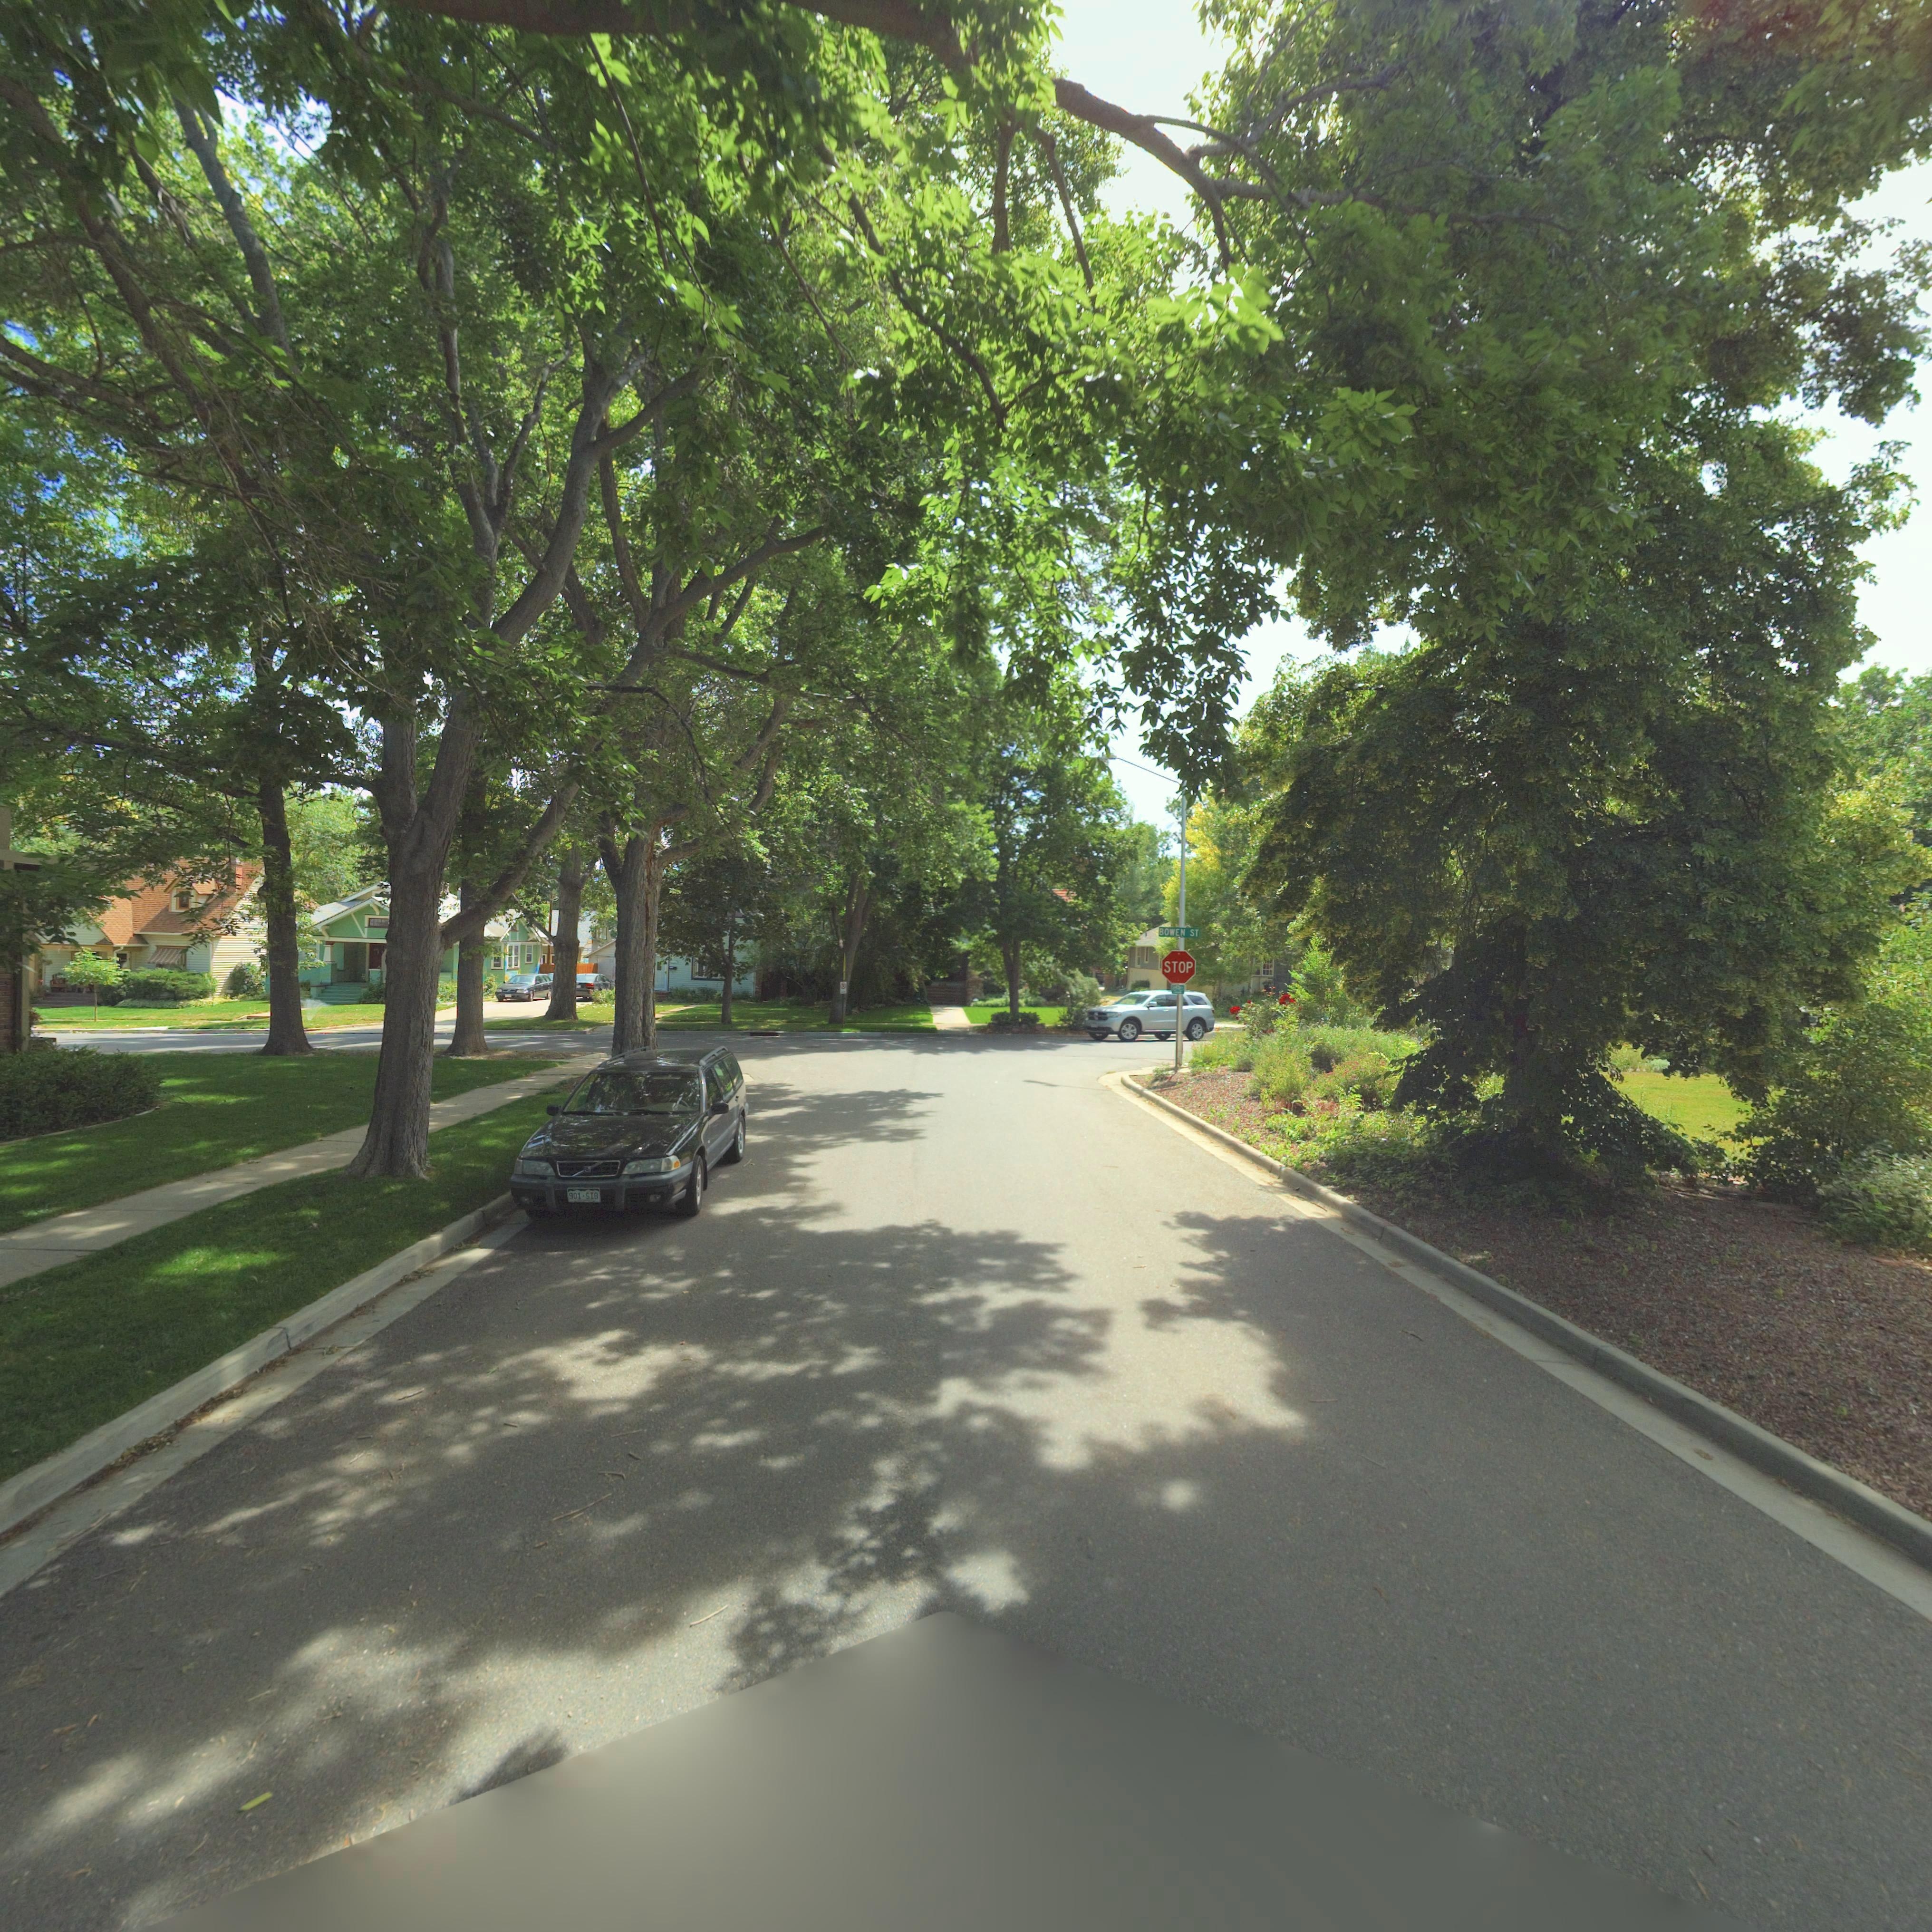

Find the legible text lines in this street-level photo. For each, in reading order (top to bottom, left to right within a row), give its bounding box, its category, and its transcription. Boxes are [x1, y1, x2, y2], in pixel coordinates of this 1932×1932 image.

[1159, 928, 1198, 936] StreetName: BOWEN ST